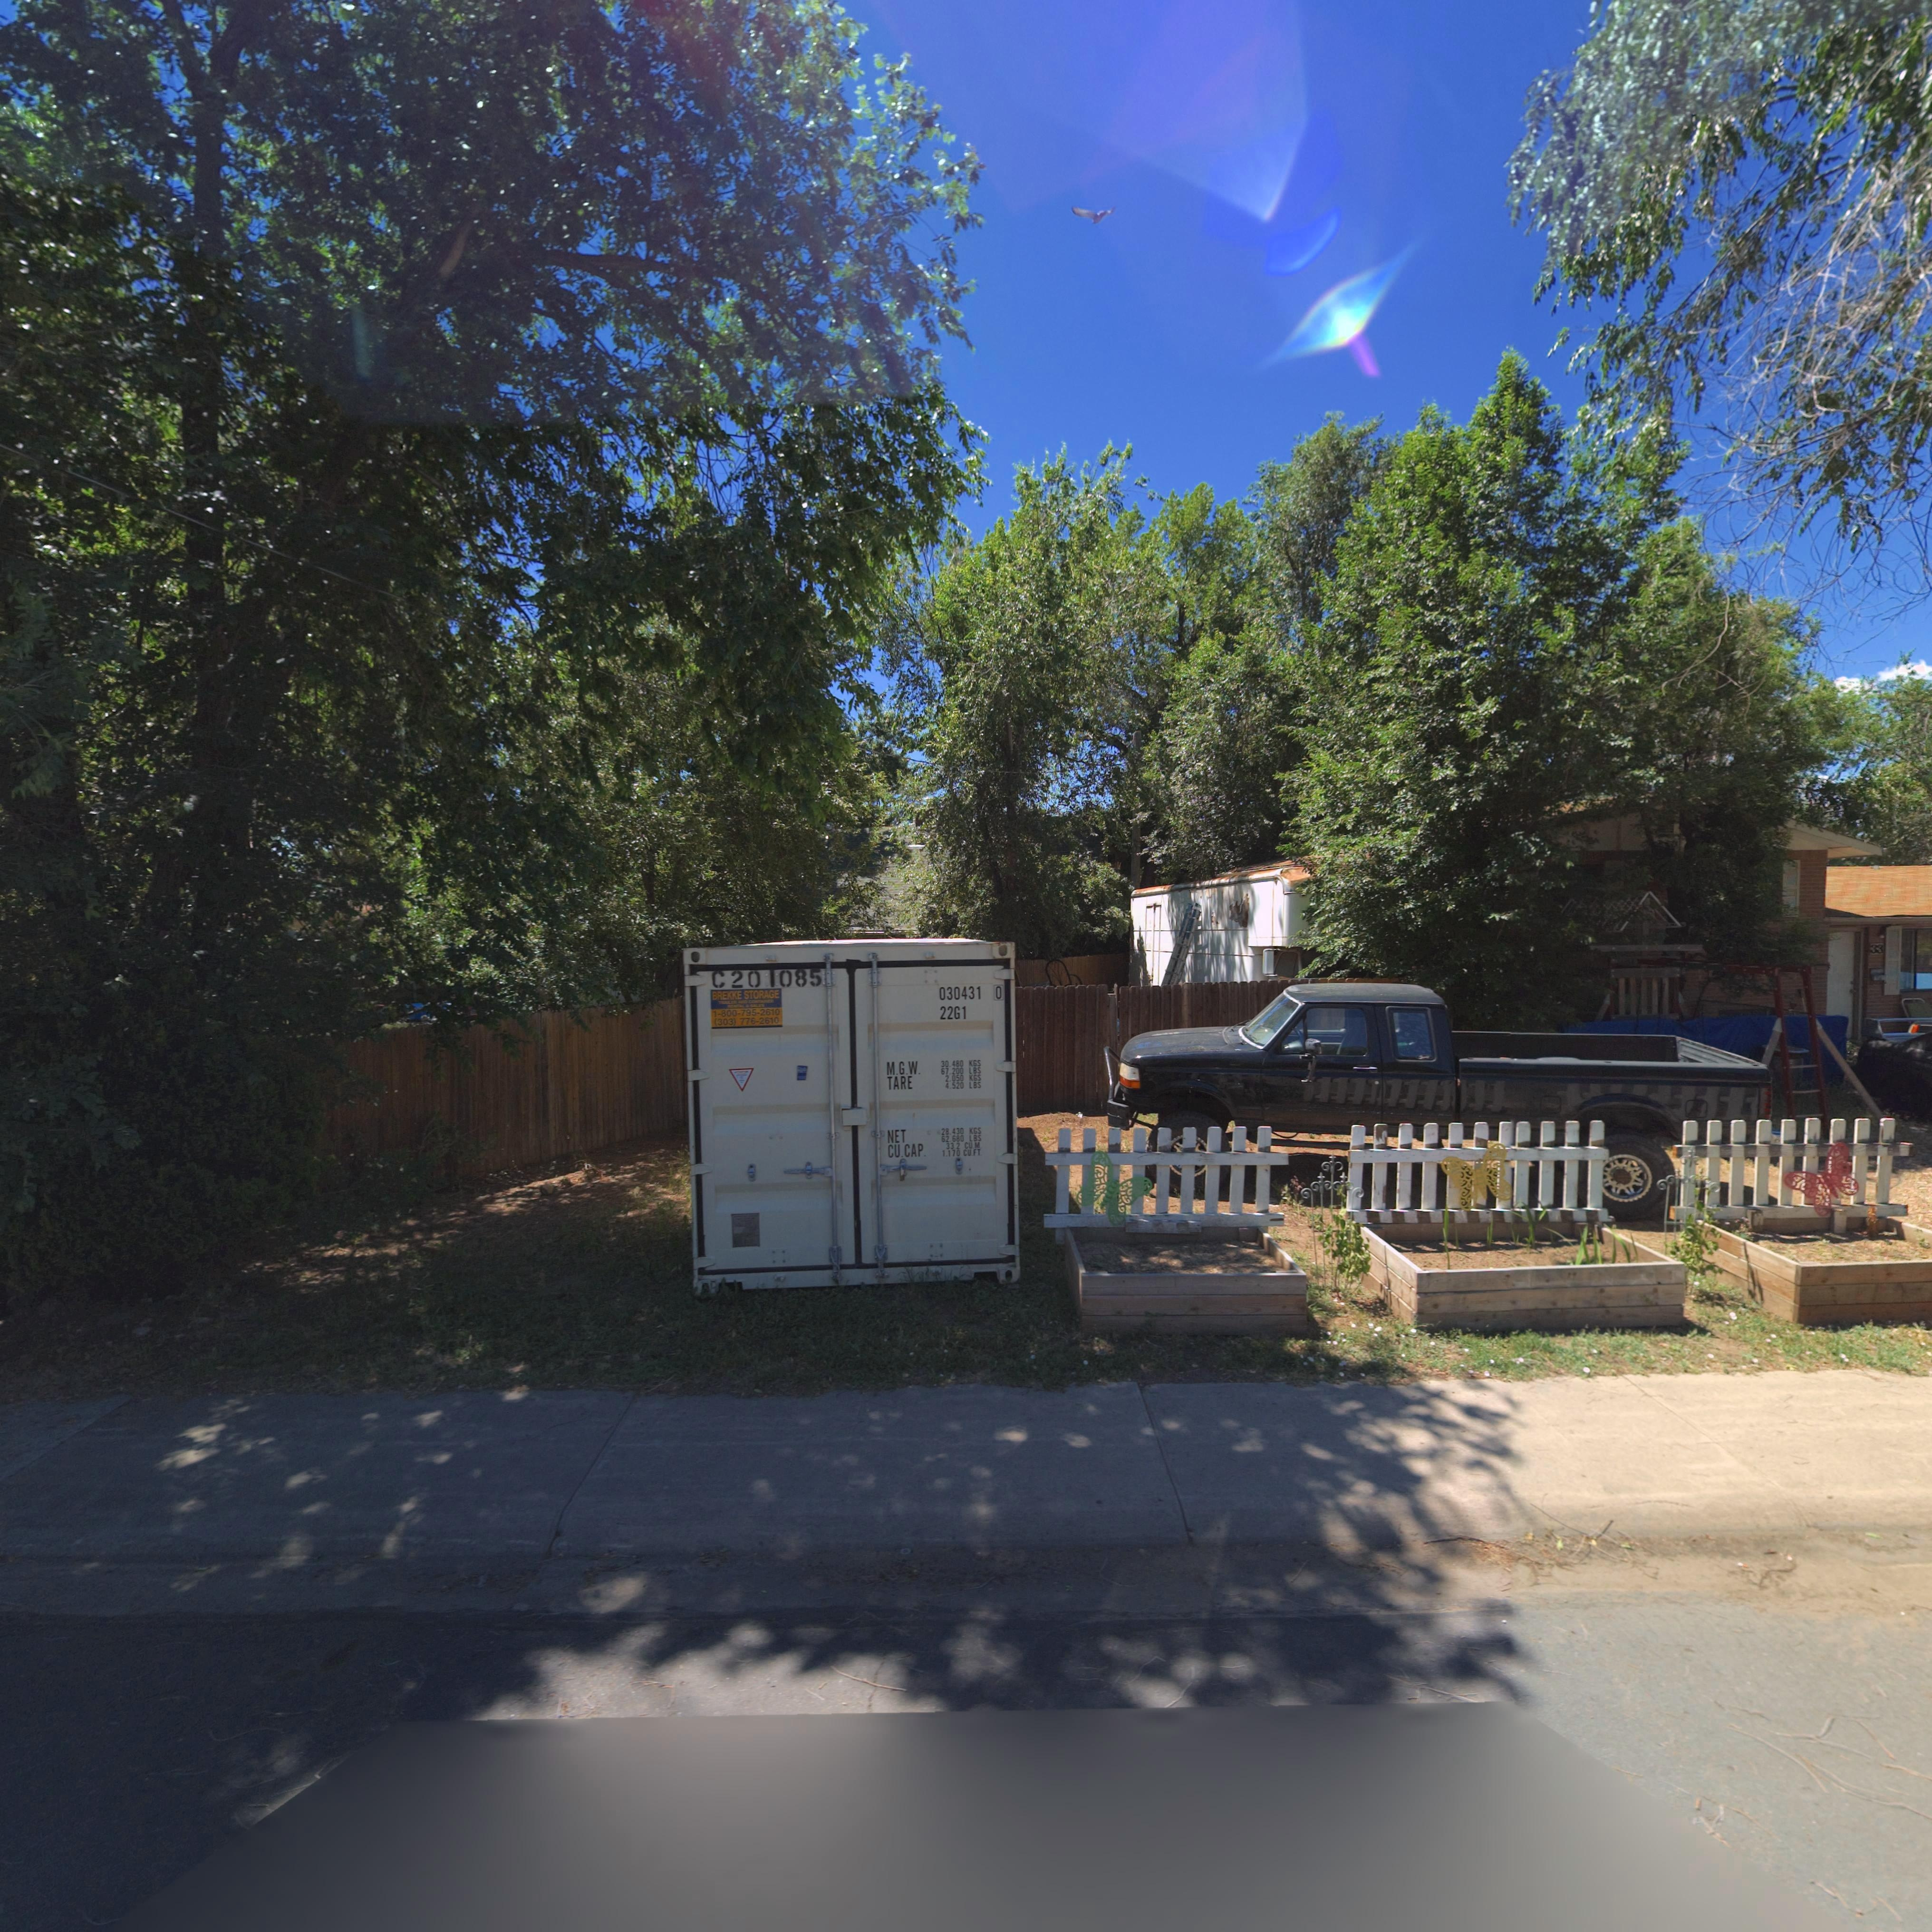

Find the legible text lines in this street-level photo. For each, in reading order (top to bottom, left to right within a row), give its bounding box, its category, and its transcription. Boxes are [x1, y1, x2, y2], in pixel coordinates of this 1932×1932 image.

[1871, 944, 1884, 954] StreetNumber: 33